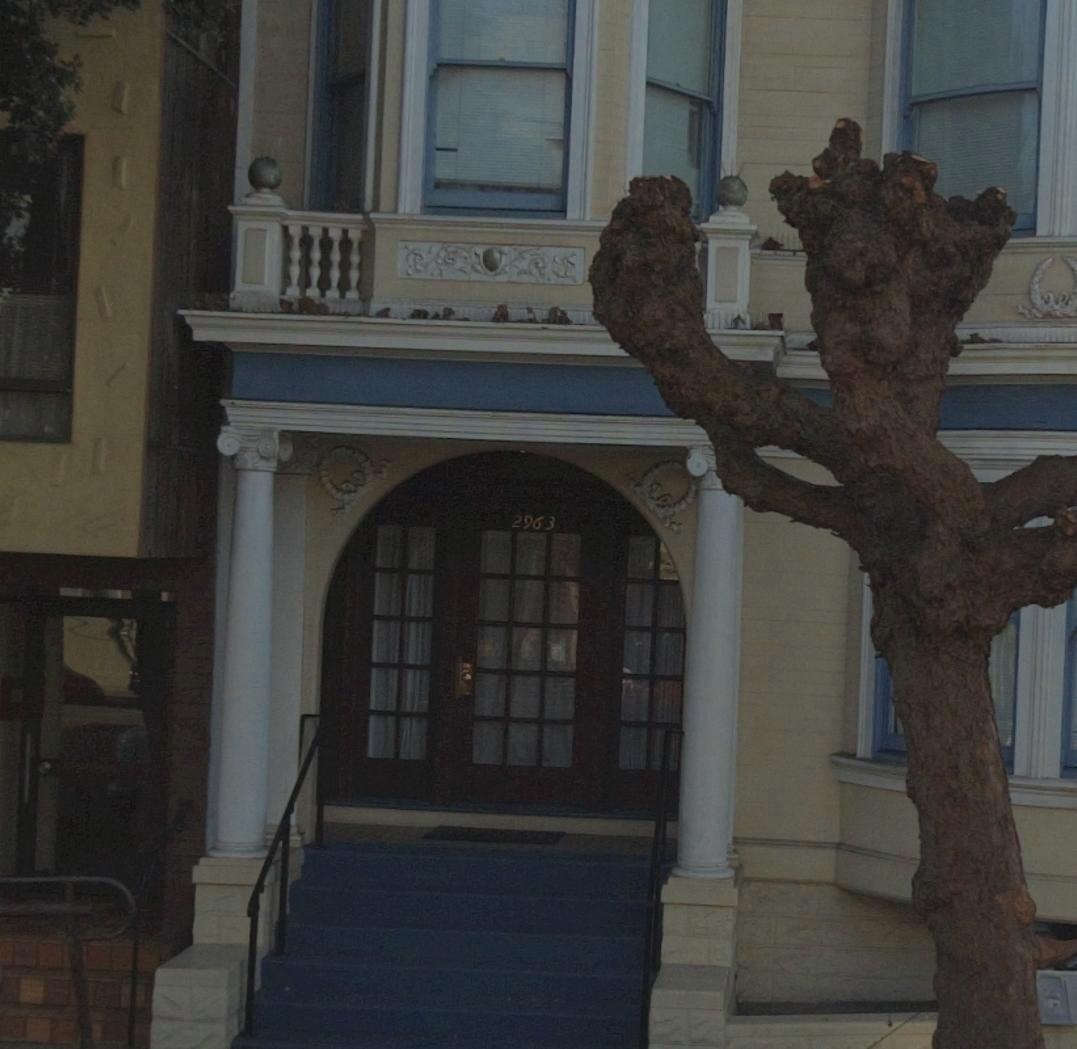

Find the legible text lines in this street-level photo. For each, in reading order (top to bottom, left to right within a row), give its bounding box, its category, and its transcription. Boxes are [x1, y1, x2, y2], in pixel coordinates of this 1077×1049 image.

[506, 511, 560, 535] StreetNumber: 2963